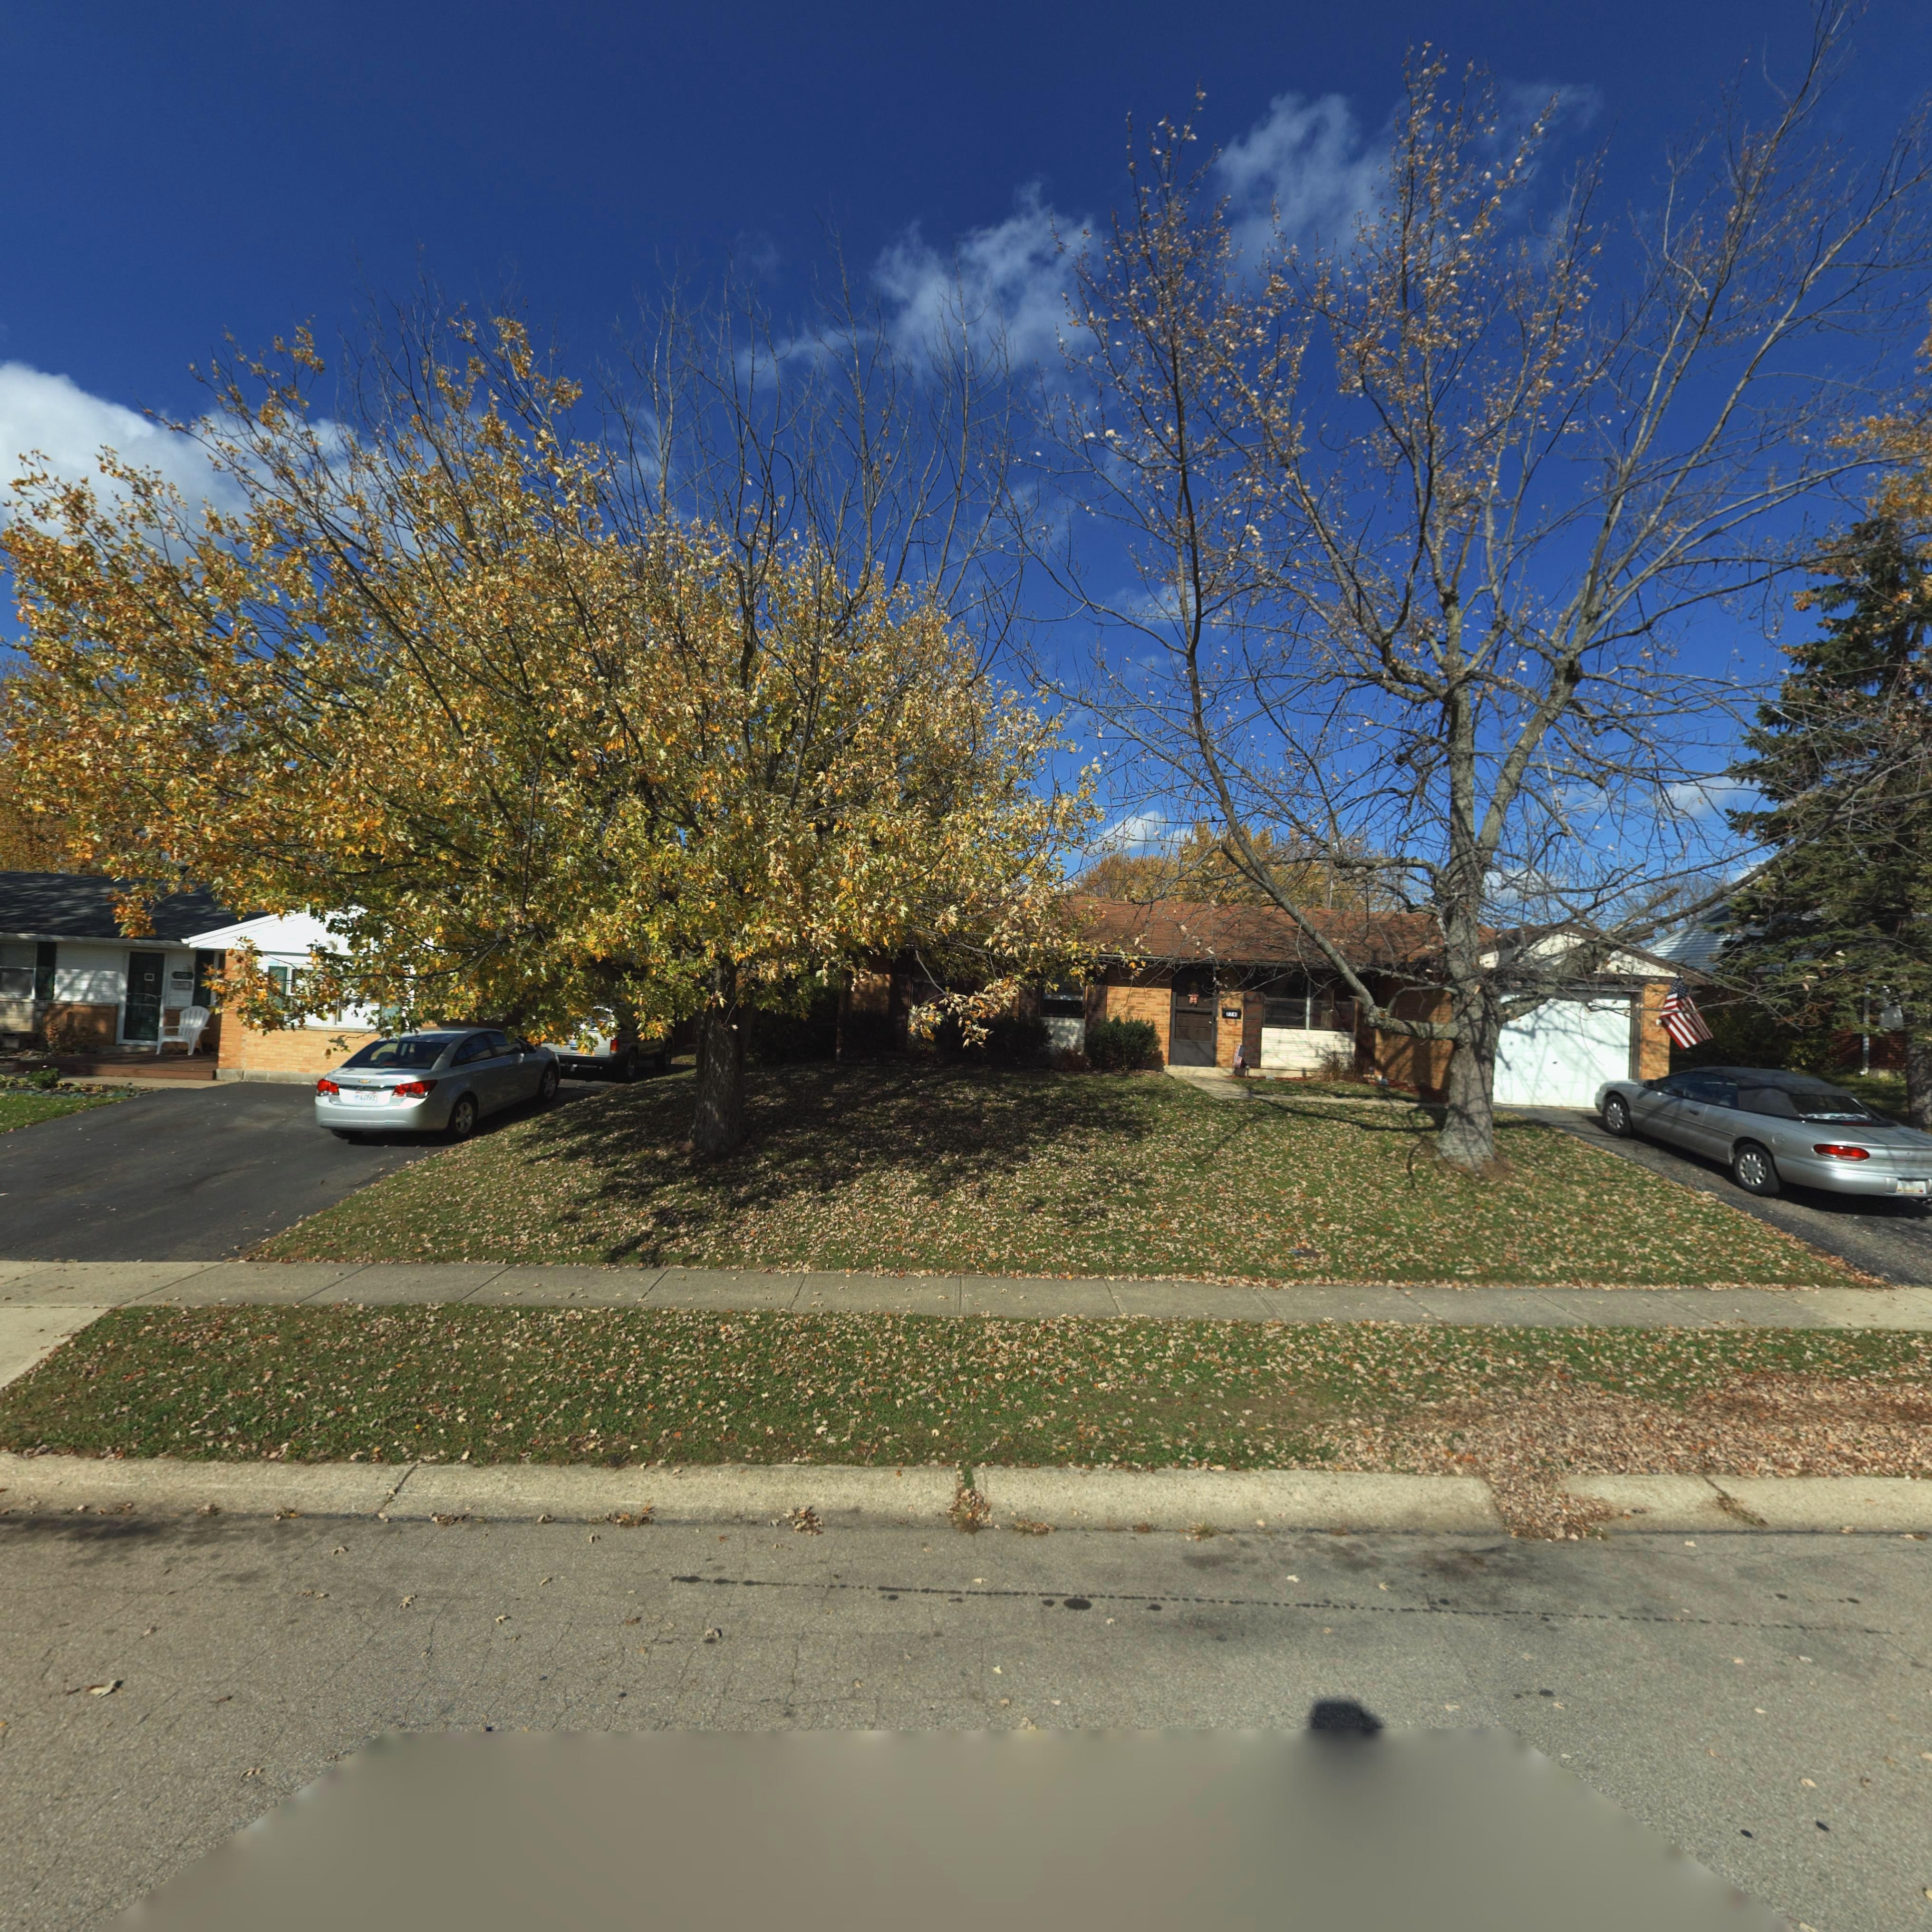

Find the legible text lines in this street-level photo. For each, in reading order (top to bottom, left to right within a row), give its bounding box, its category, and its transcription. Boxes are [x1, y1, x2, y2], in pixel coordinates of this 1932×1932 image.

[174, 972, 188, 979] StreetNumber: 7735
[1226, 1011, 1238, 1016] StreetNumber: 7741